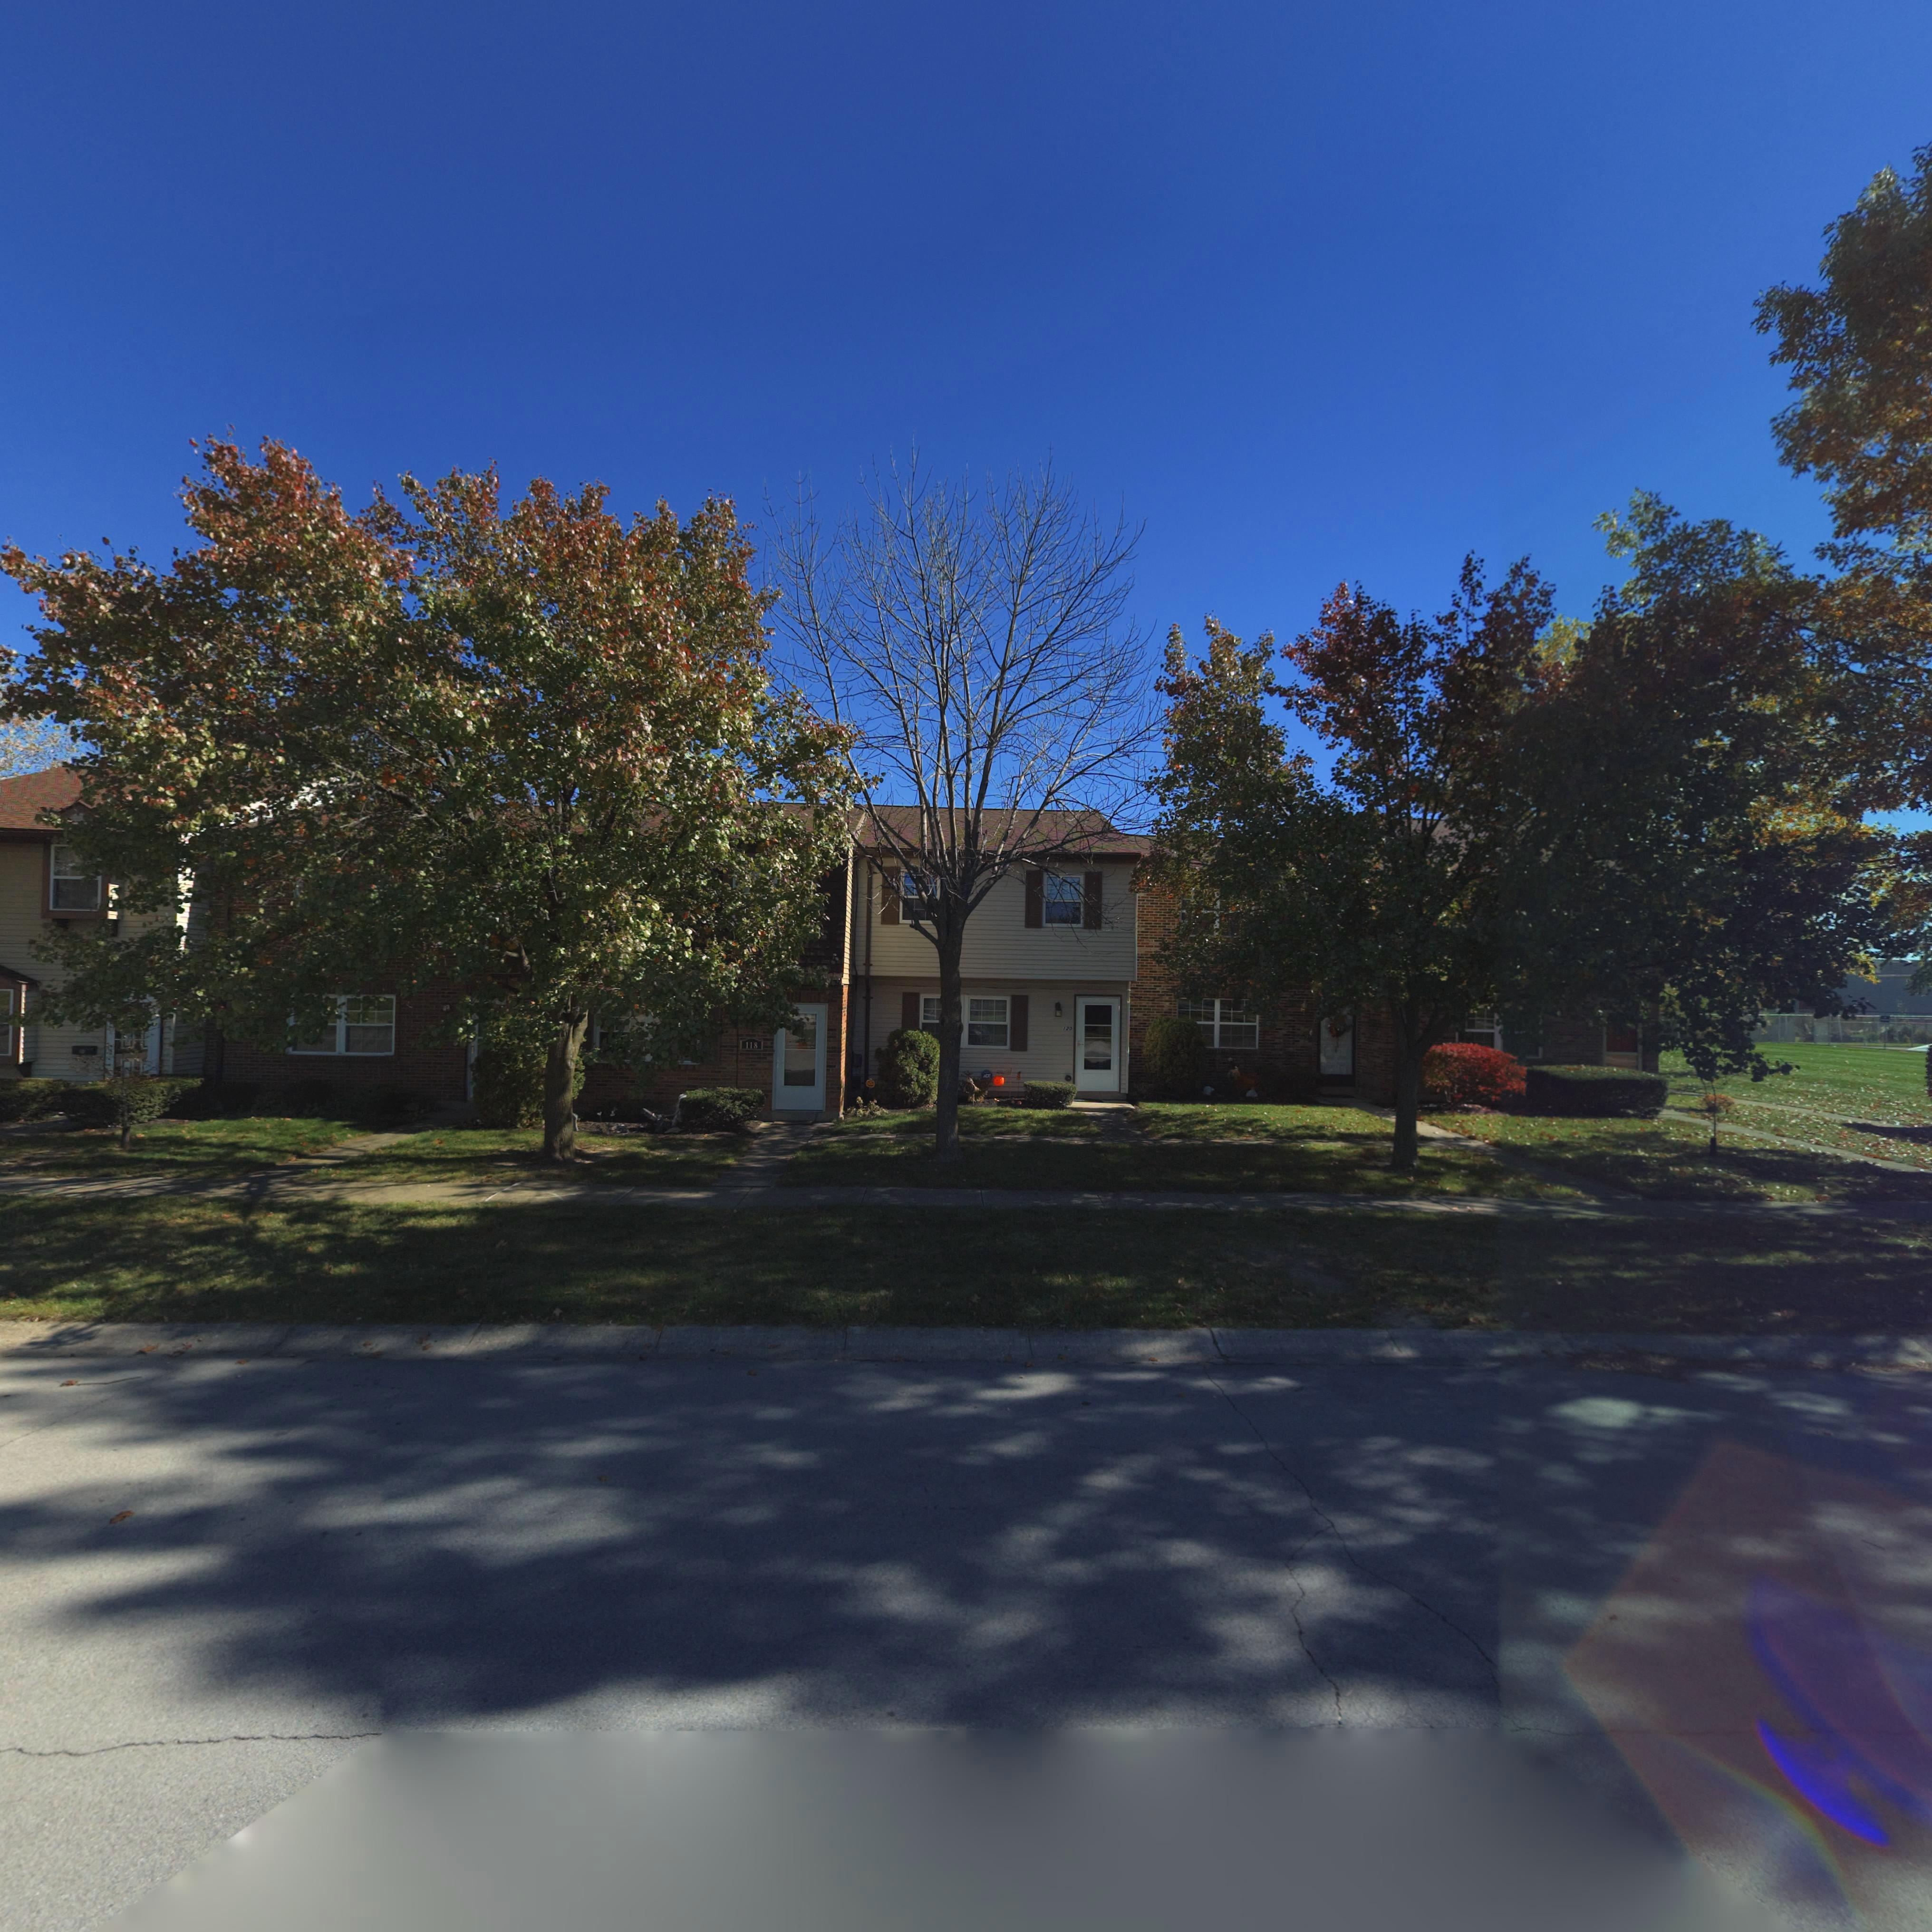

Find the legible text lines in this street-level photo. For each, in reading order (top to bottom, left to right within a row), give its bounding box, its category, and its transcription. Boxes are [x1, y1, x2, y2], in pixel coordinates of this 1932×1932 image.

[1063, 1025, 1073, 1031] StreetNumber: 120
[744, 1041, 759, 1050] StreetNumber: 118